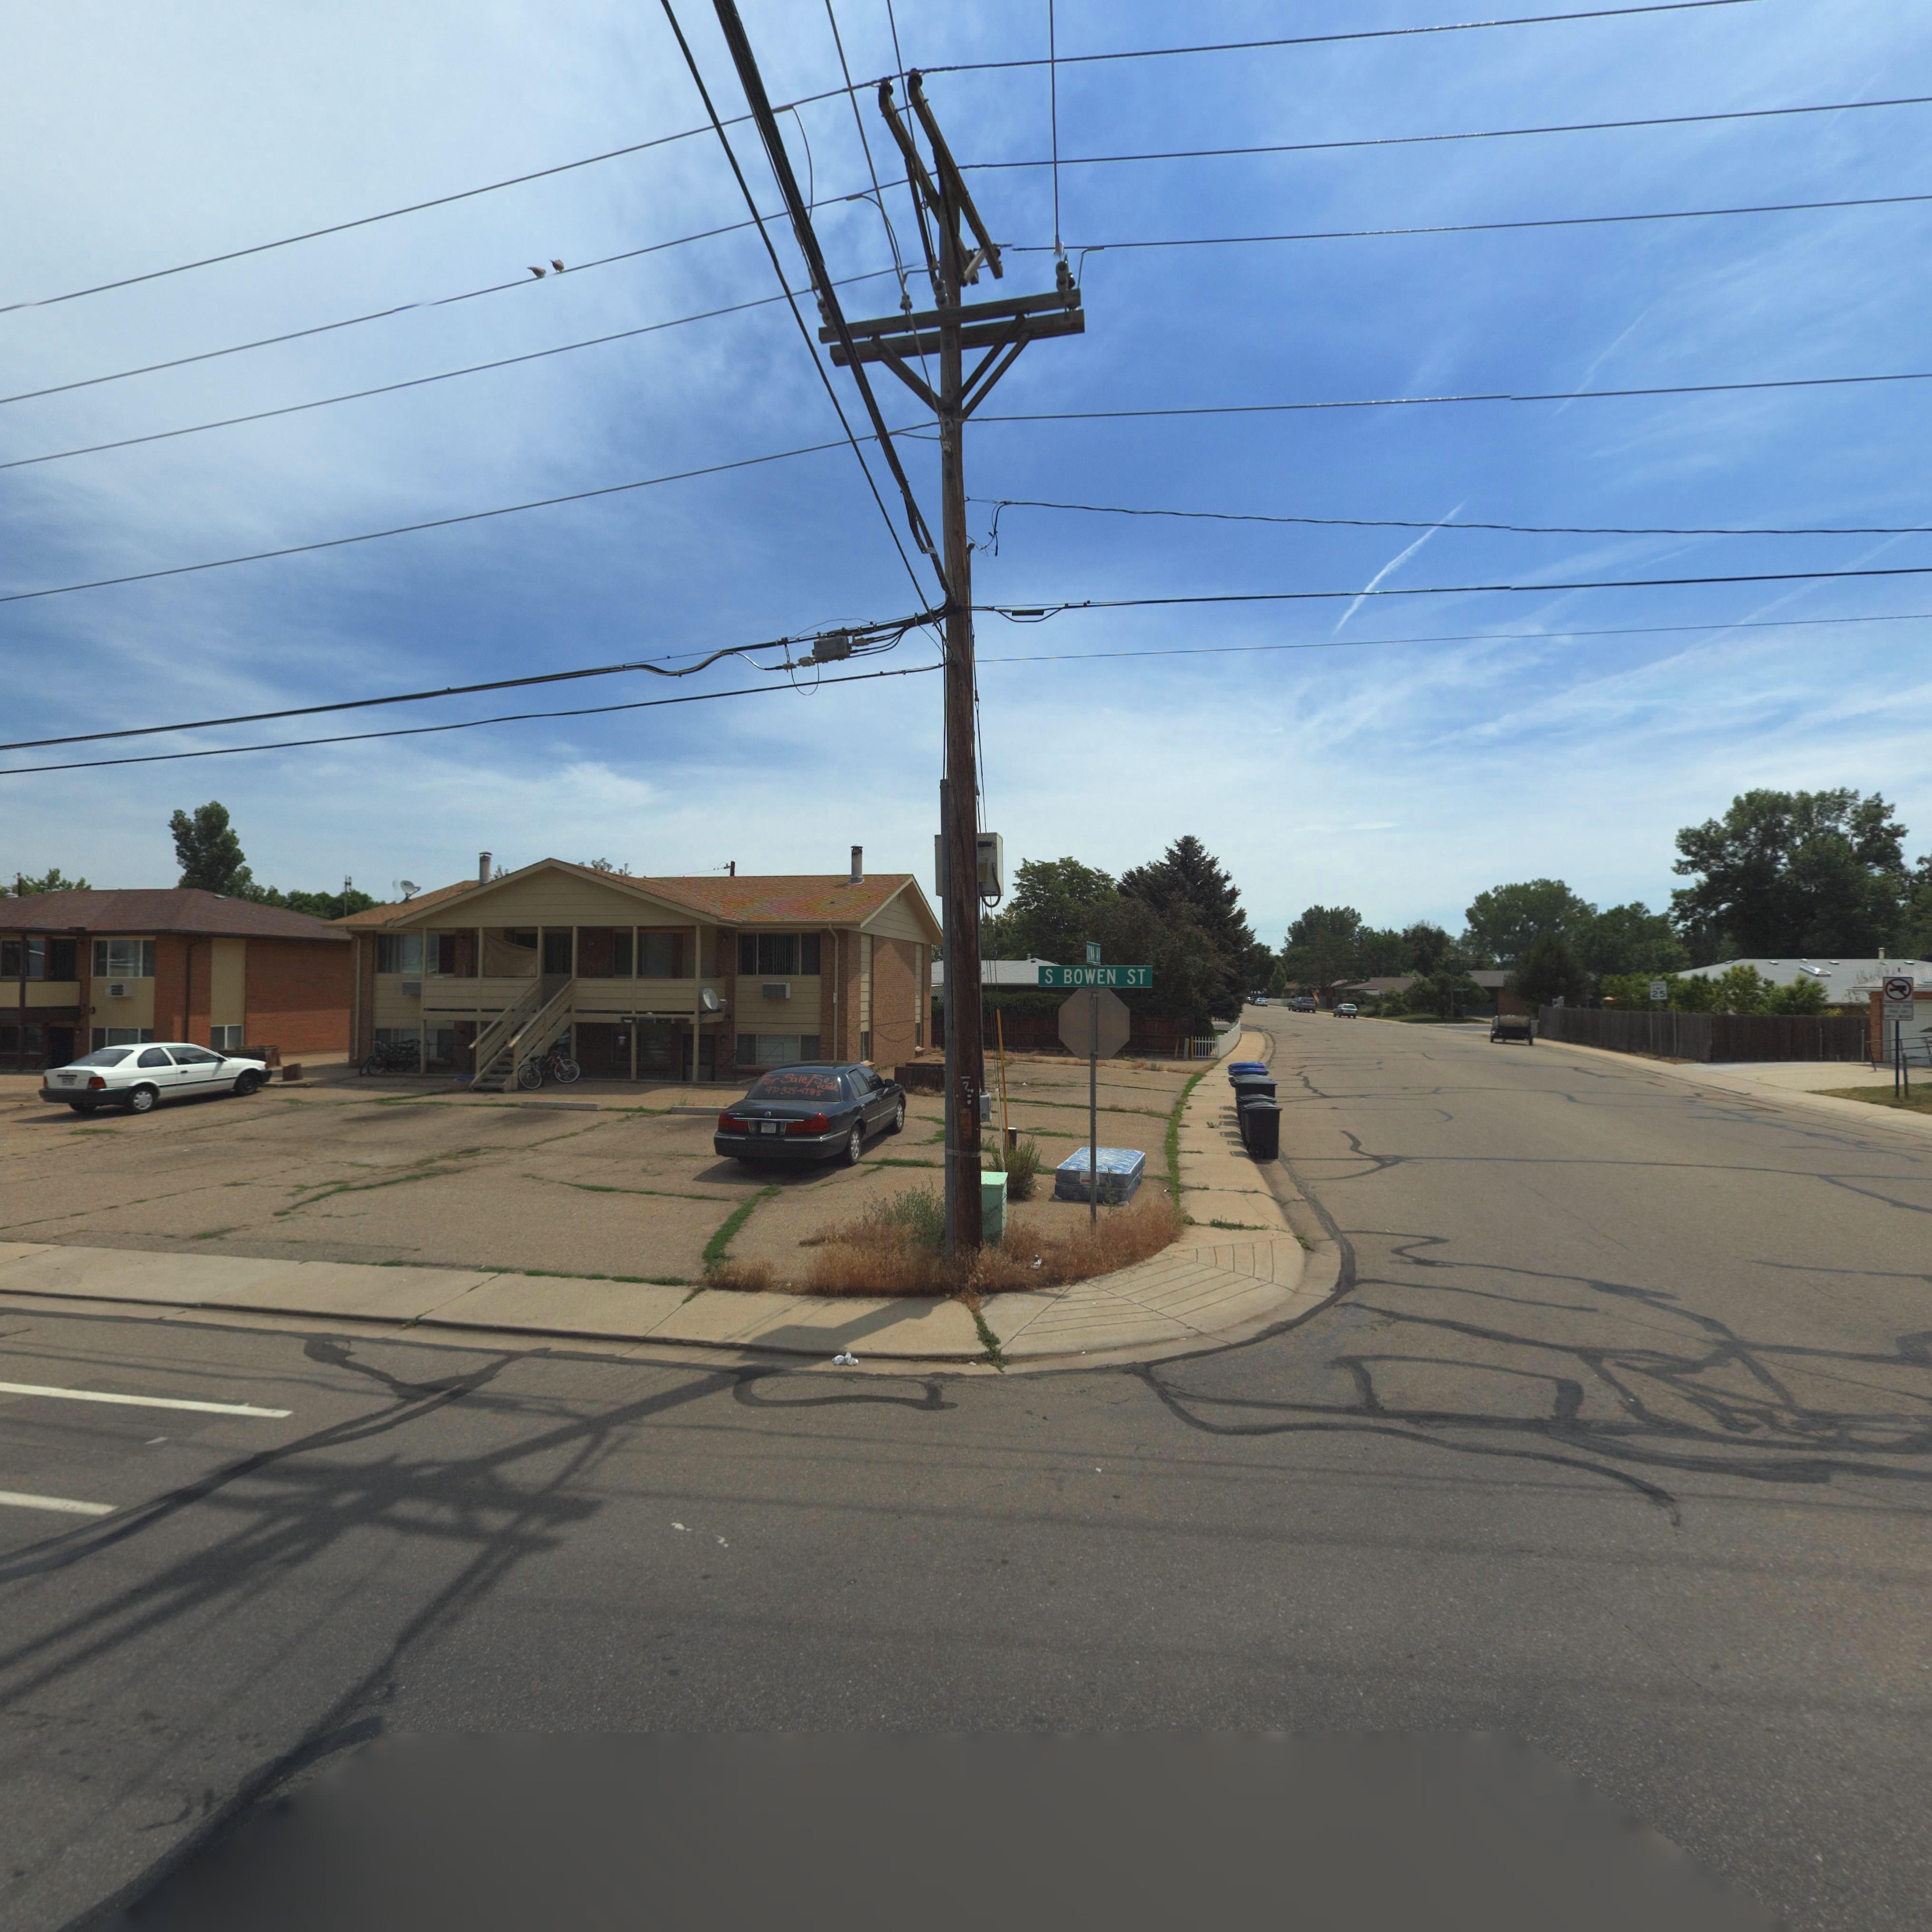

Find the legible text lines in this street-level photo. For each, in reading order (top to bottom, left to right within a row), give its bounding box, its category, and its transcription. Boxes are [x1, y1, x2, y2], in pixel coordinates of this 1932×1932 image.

[1086, 944, 1100, 962] StreetName: IOWA AV
[1044, 968, 1146, 984] StreetName: S BOWEN ST